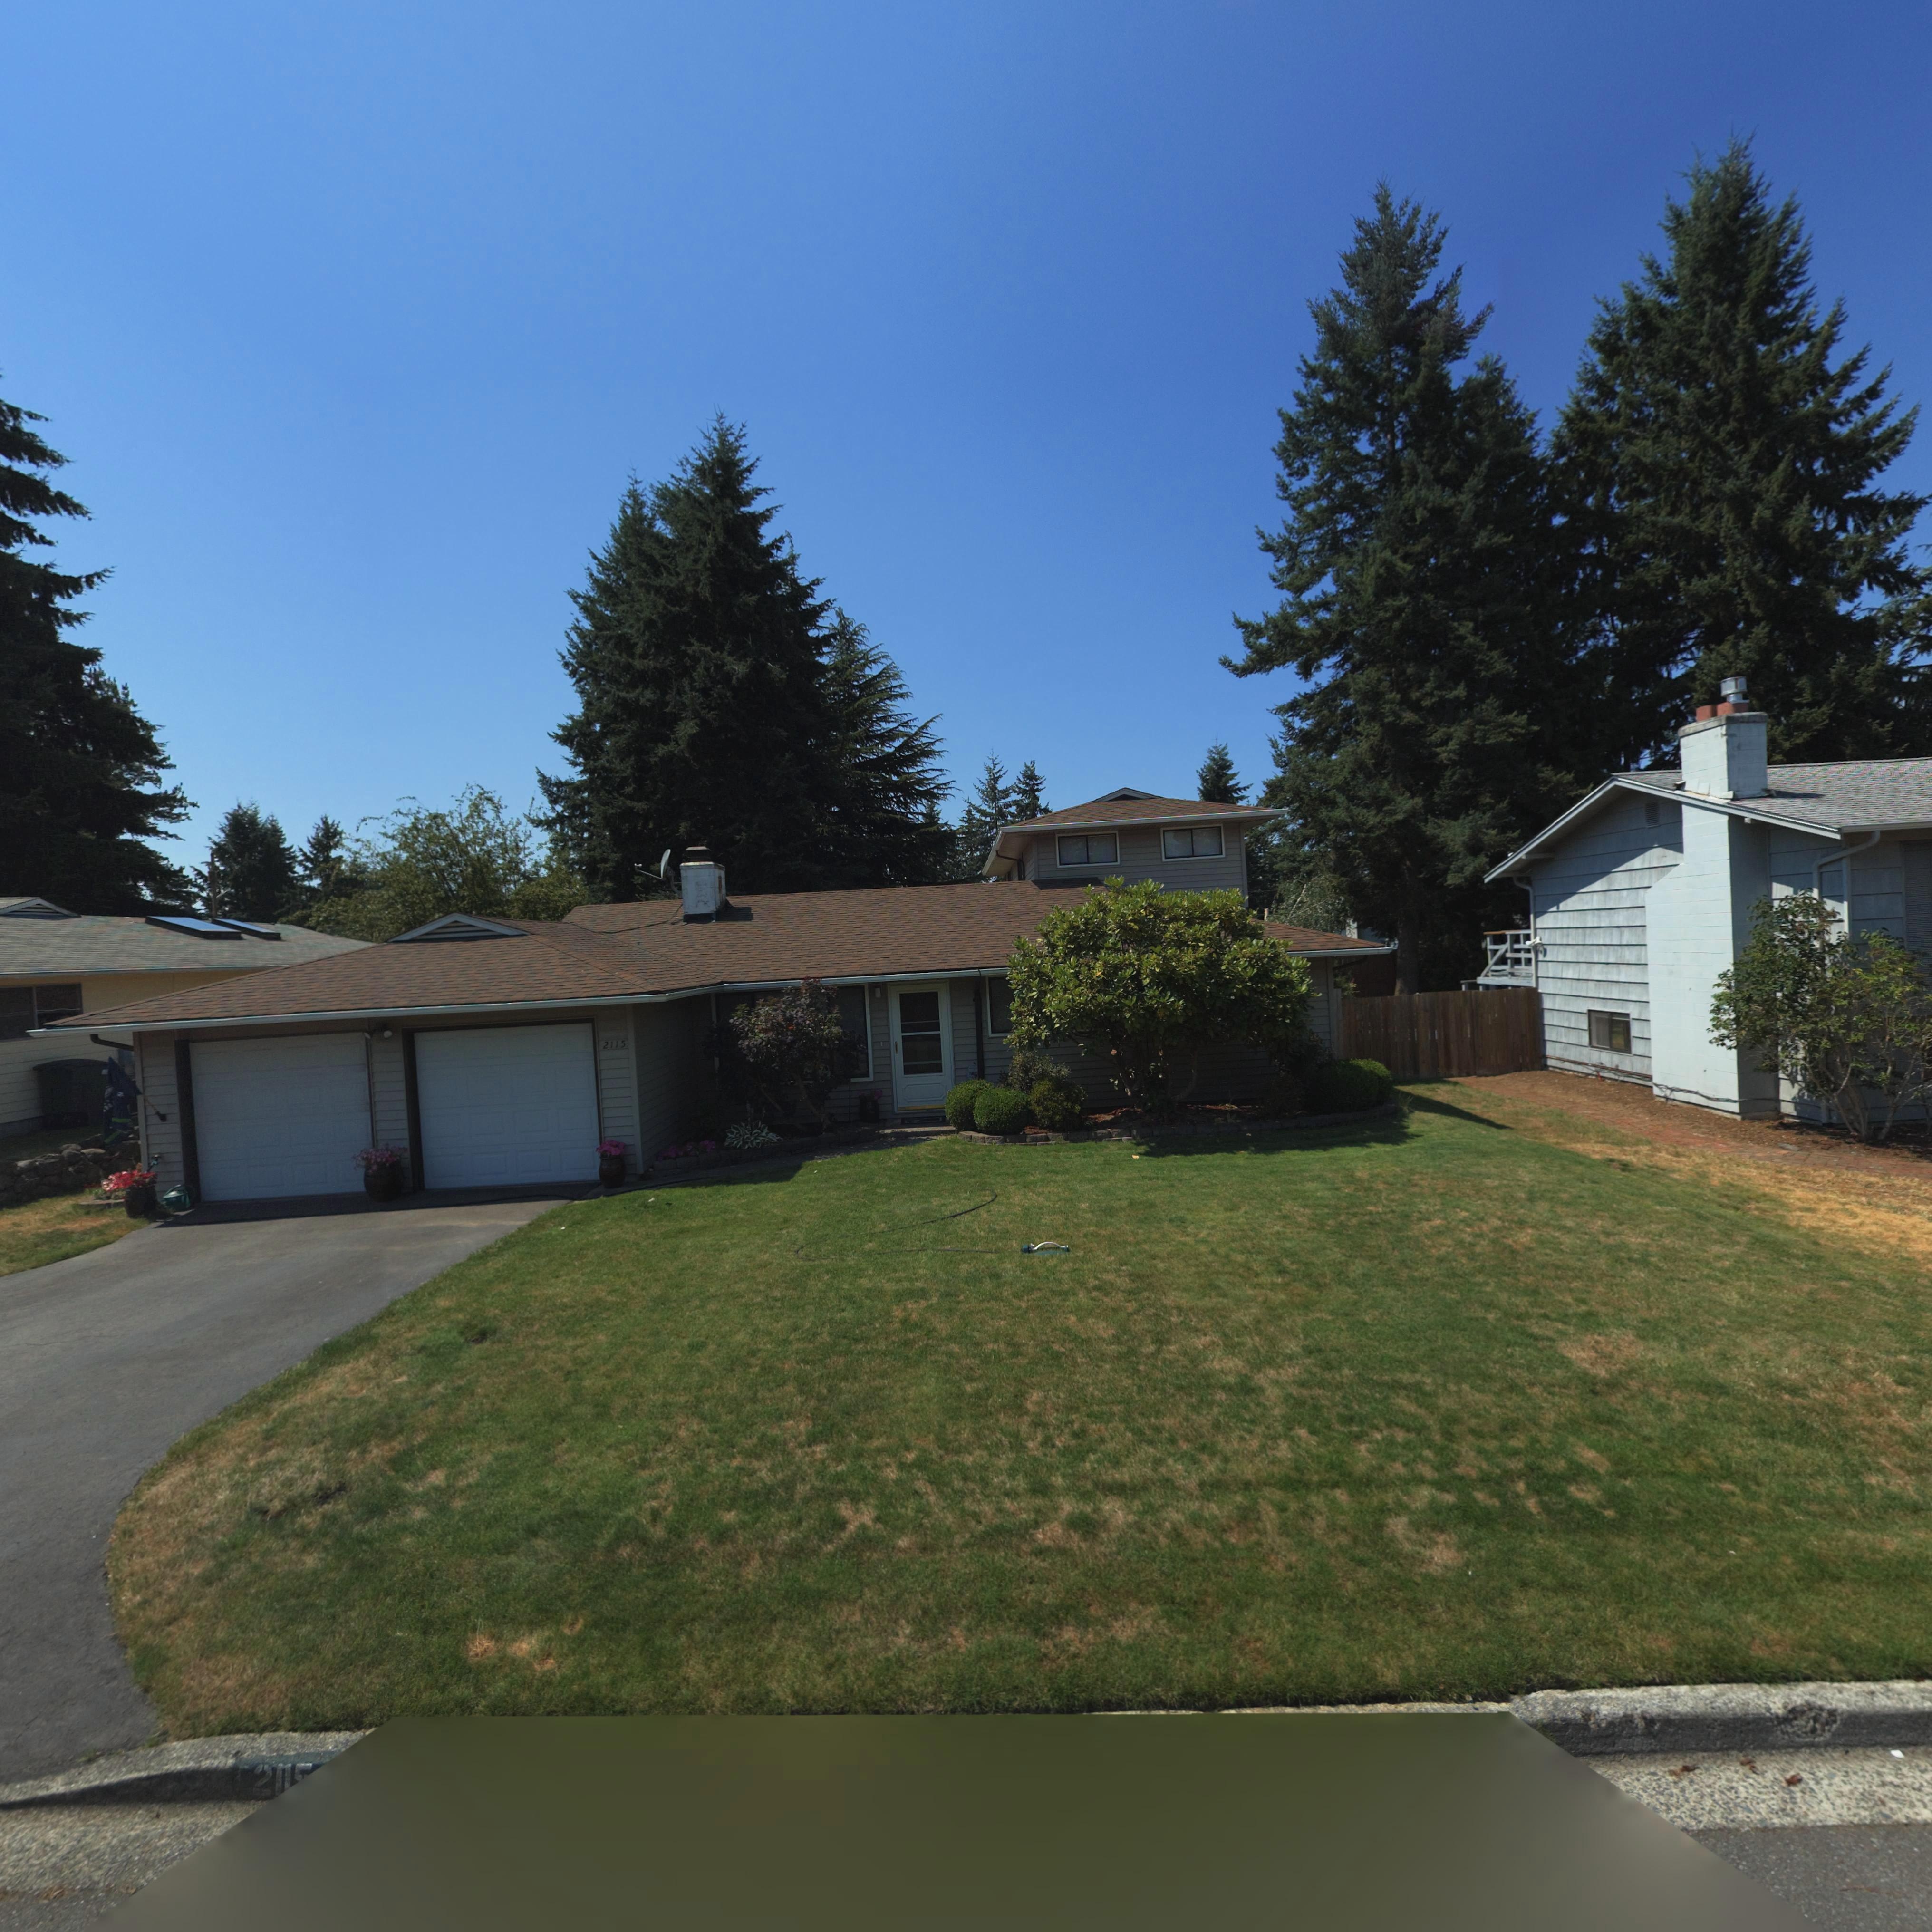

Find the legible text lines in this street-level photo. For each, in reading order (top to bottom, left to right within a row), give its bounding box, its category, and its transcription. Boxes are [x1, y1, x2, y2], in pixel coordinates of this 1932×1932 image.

[600, 1038, 628, 1050] StreetNumber: 2115
[248, 1760, 321, 1802] StreetNumber: 2115